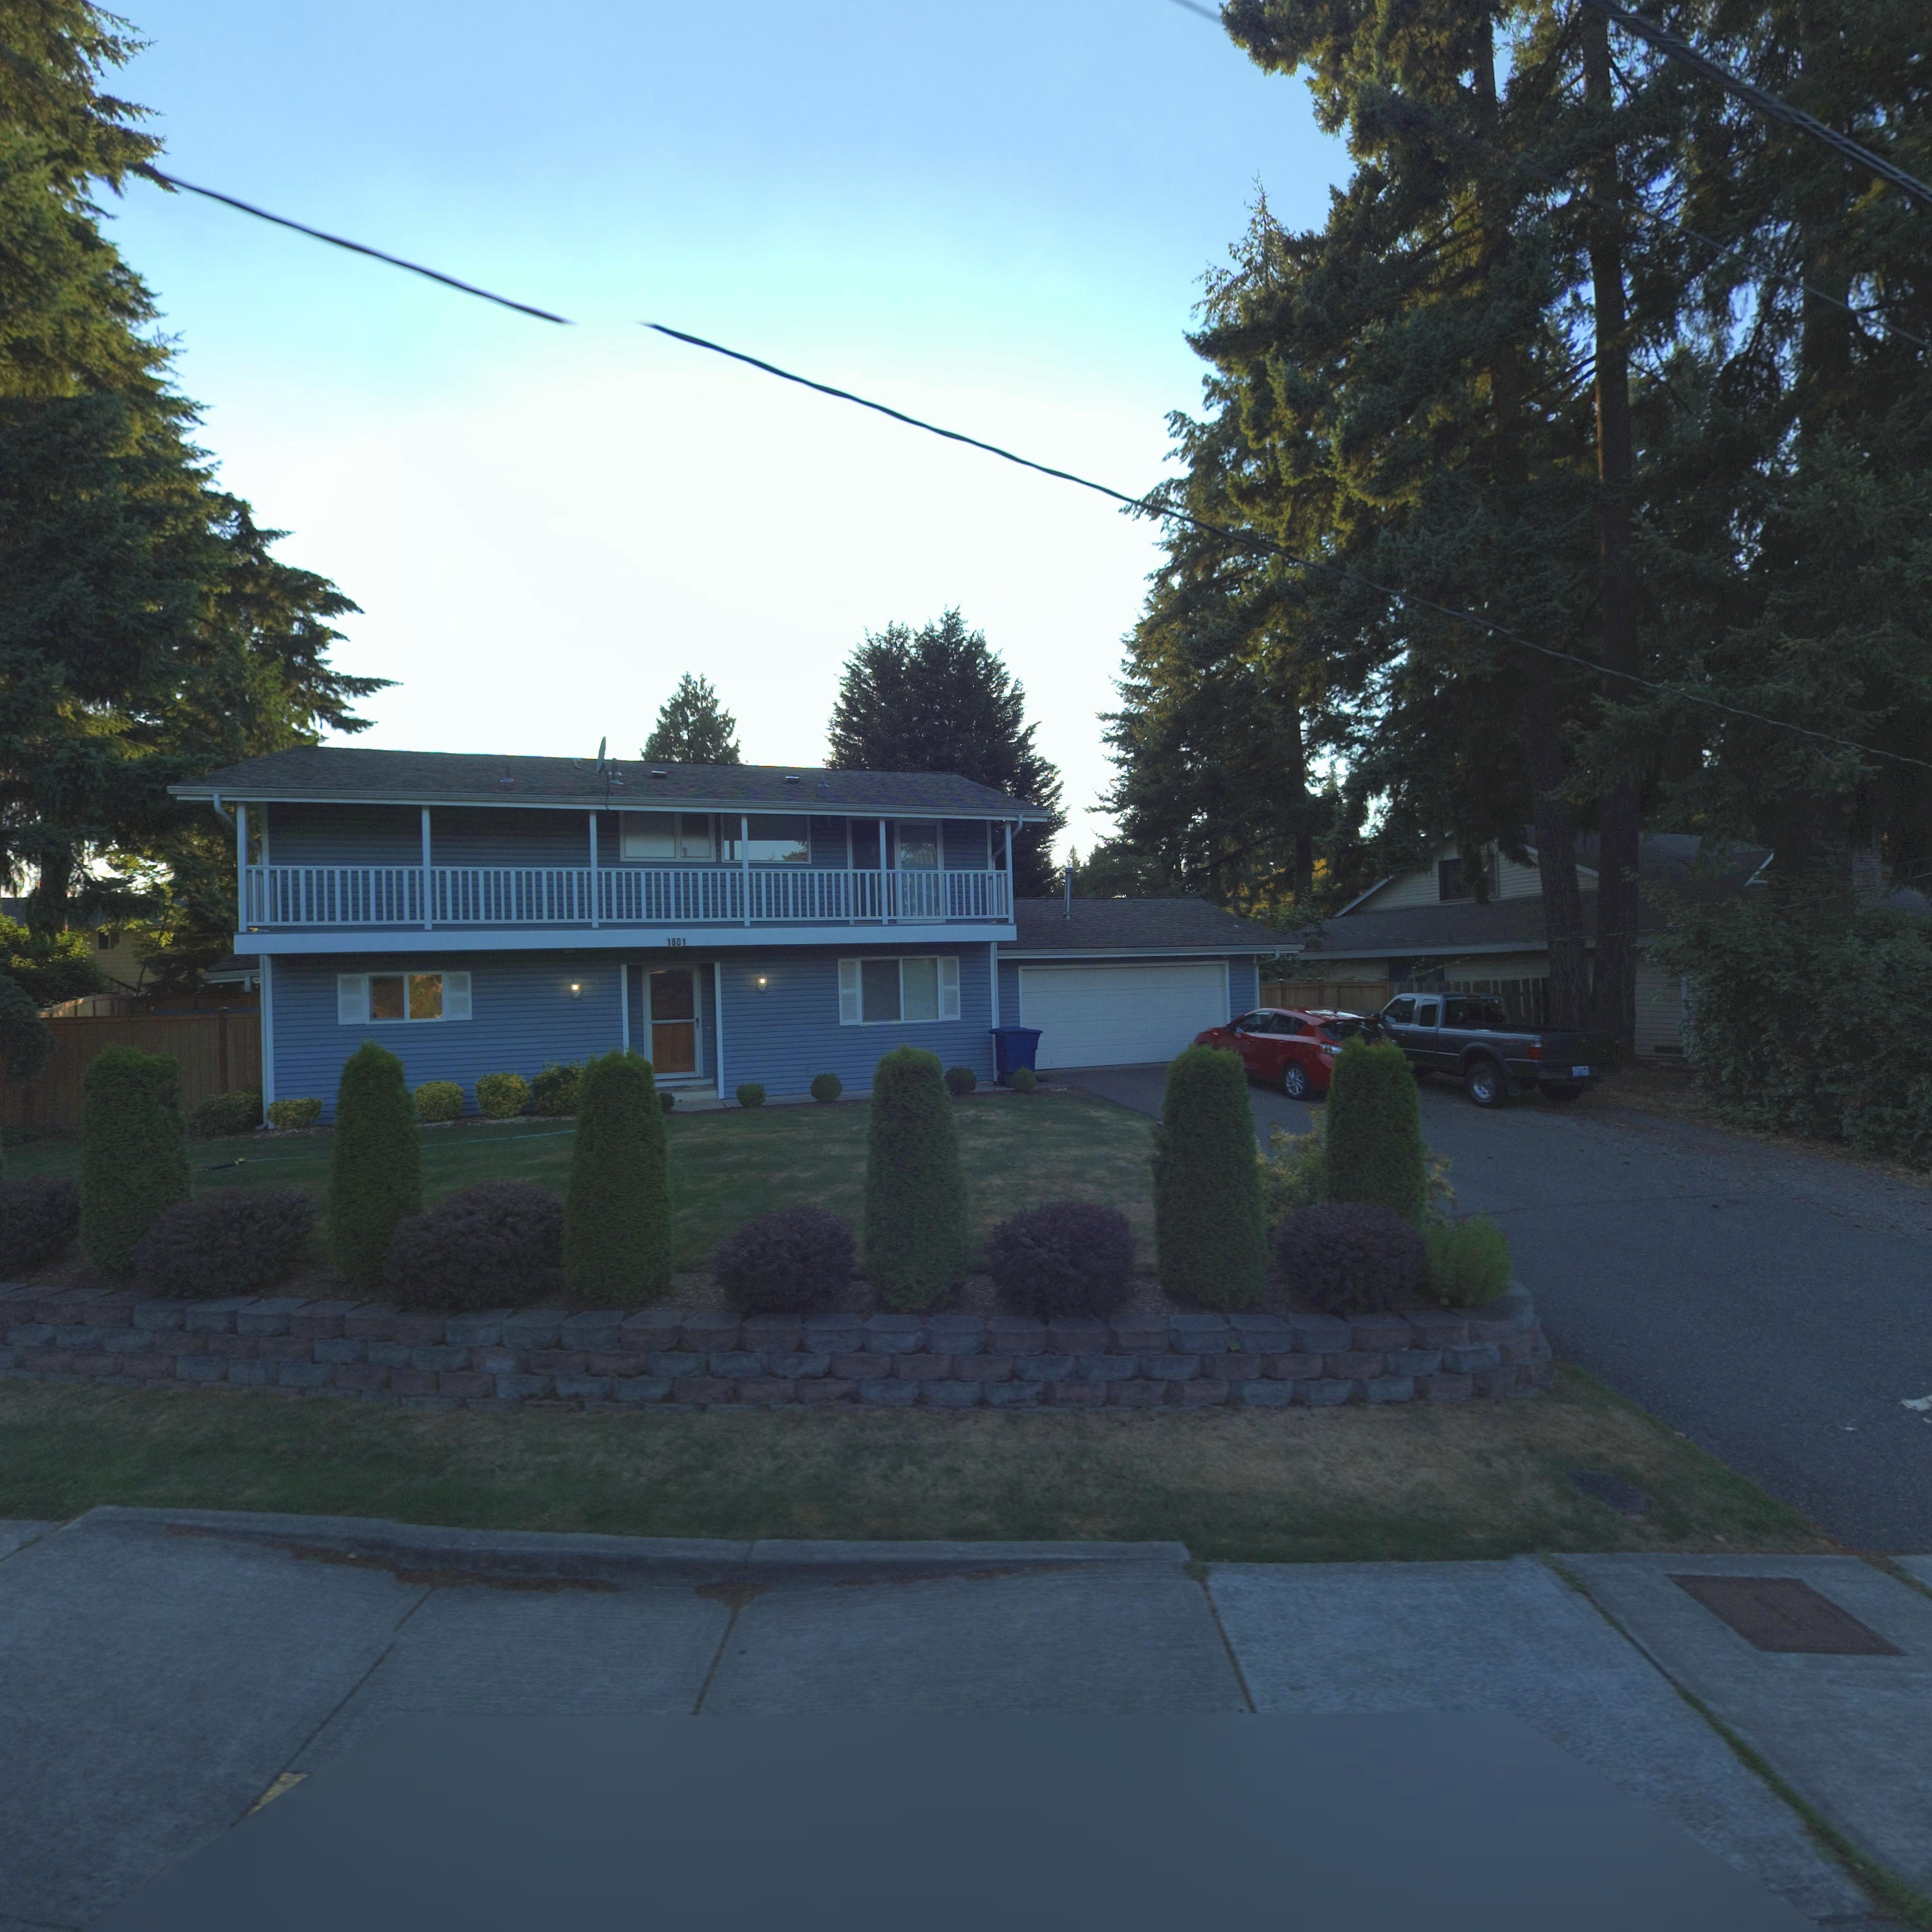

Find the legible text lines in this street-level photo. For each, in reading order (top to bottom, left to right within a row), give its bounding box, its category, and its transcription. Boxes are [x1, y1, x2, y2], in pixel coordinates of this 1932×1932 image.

[667, 937, 686, 947] StreetNumber: 1801